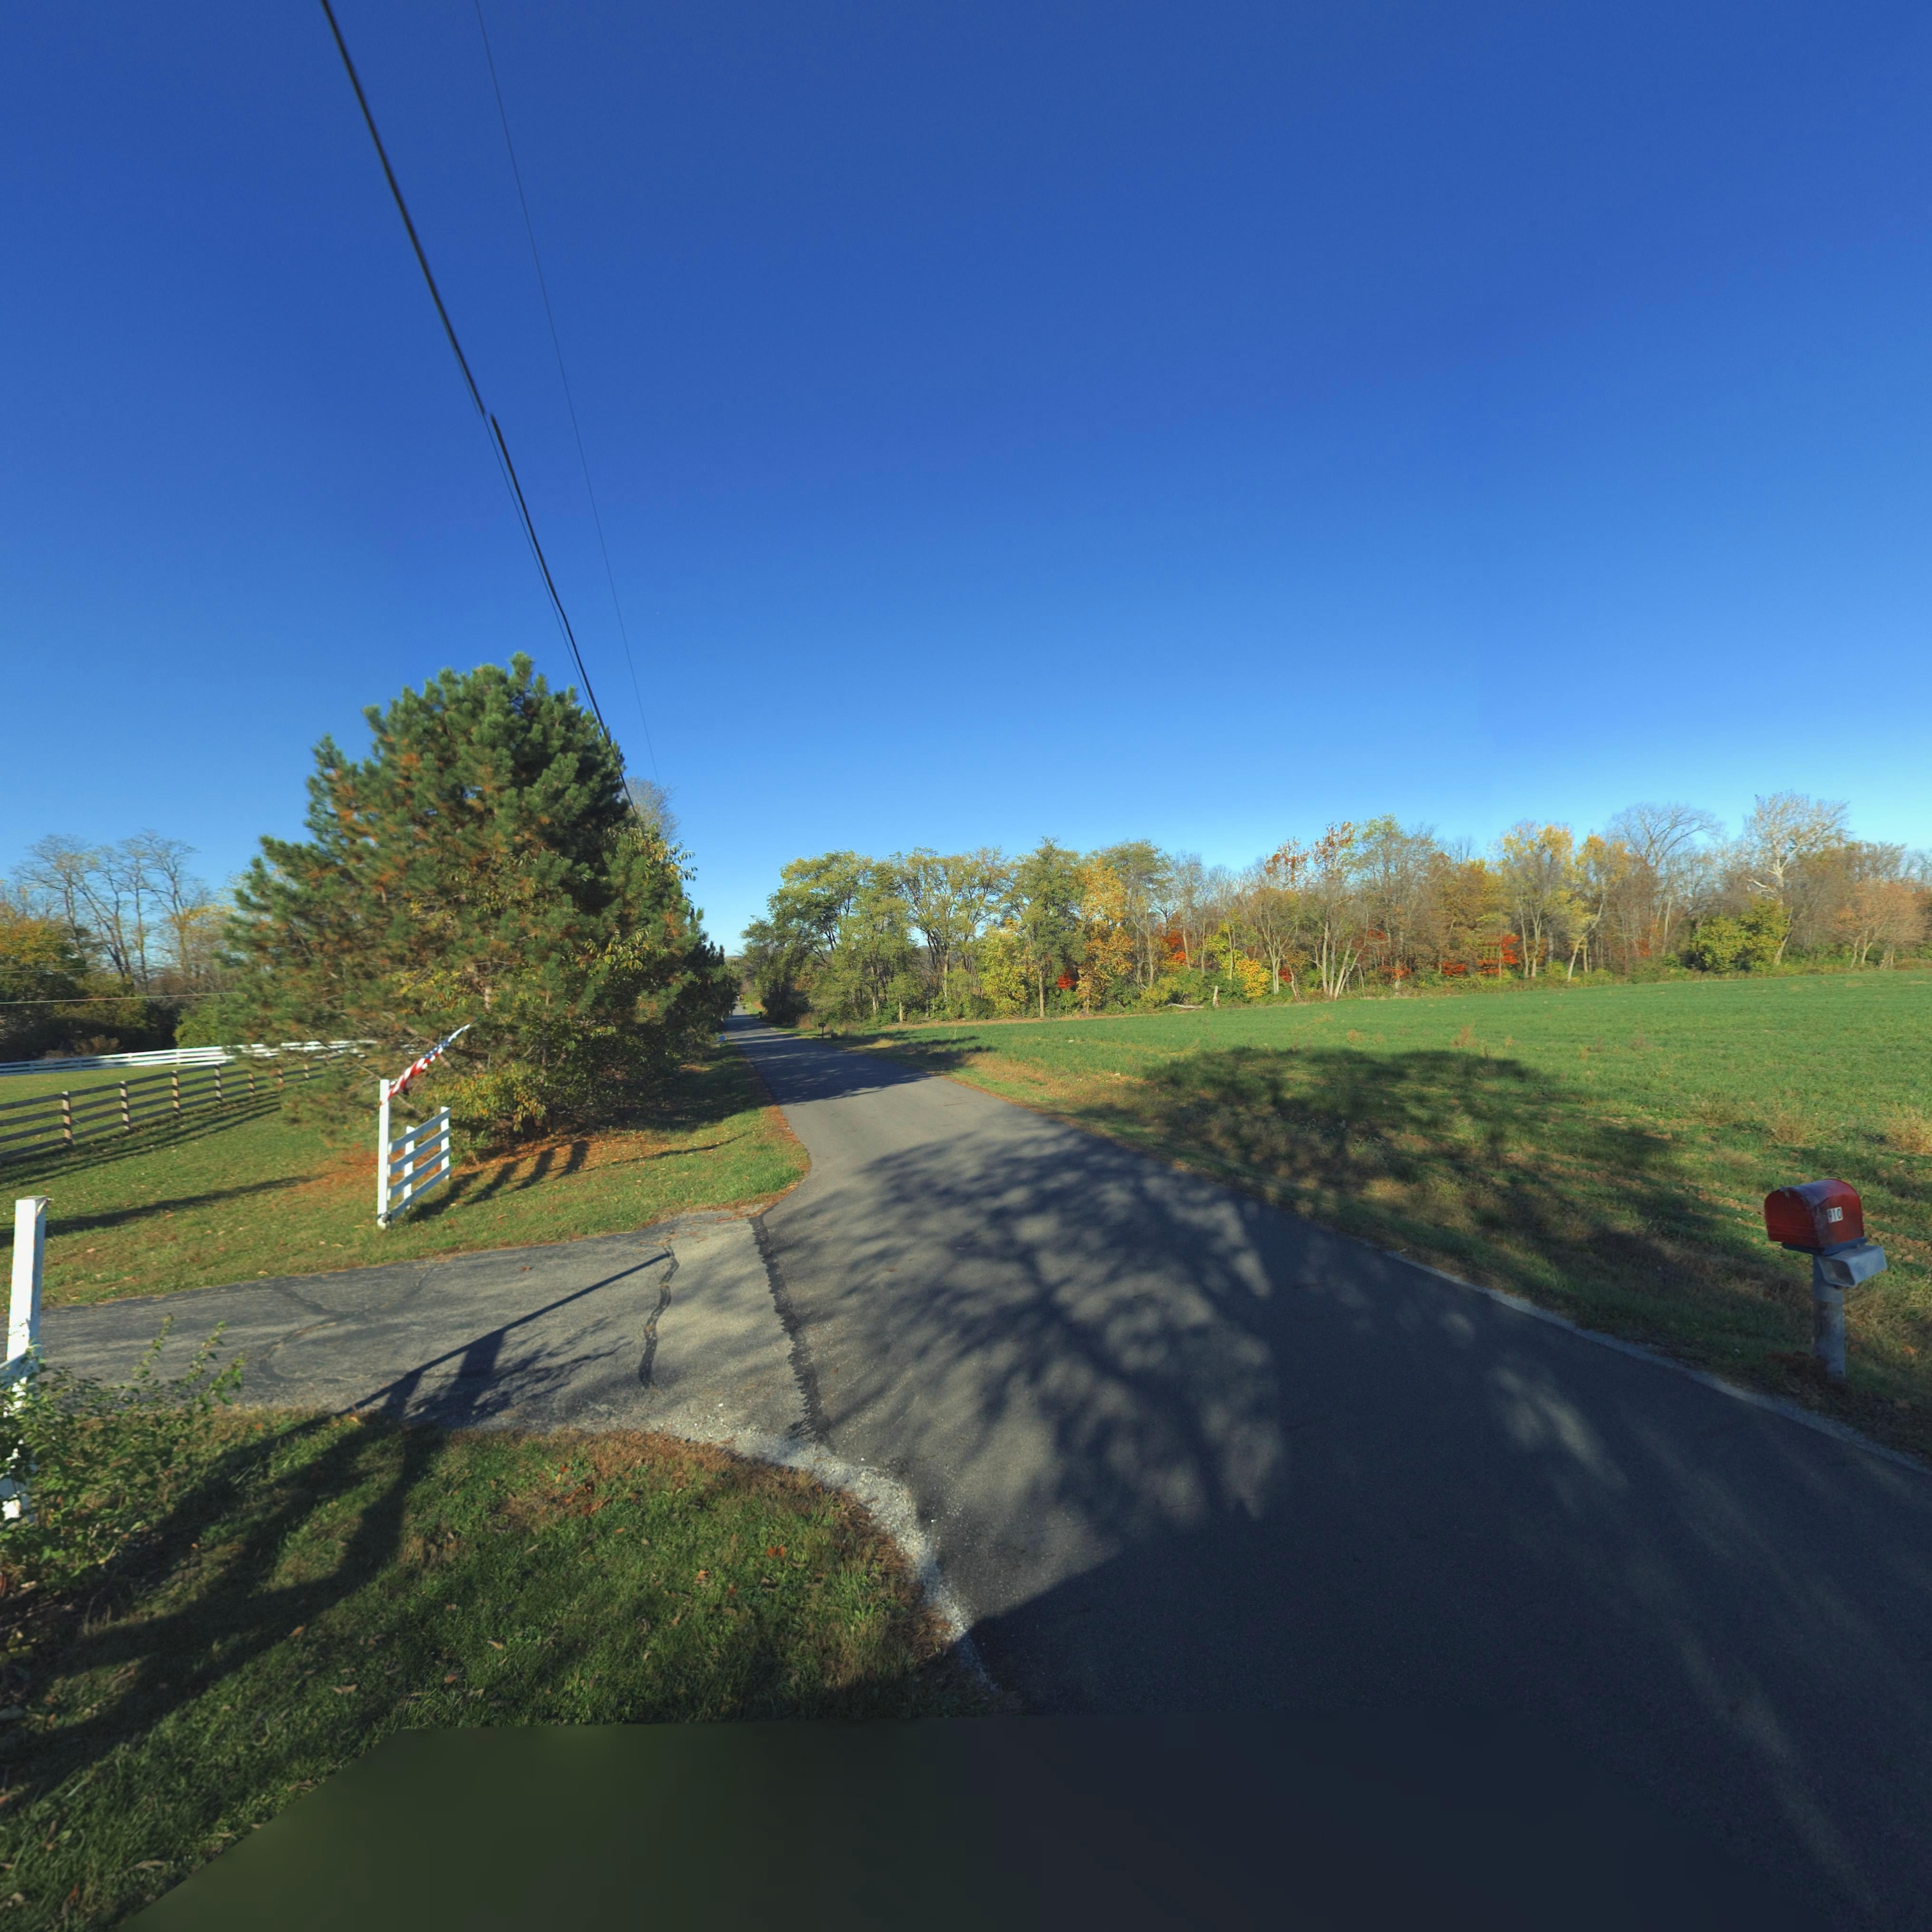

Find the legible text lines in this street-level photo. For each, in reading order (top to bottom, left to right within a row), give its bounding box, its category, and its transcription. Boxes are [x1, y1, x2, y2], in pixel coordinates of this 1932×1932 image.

[1826, 1208, 1843, 1224] StreetNumber: 910